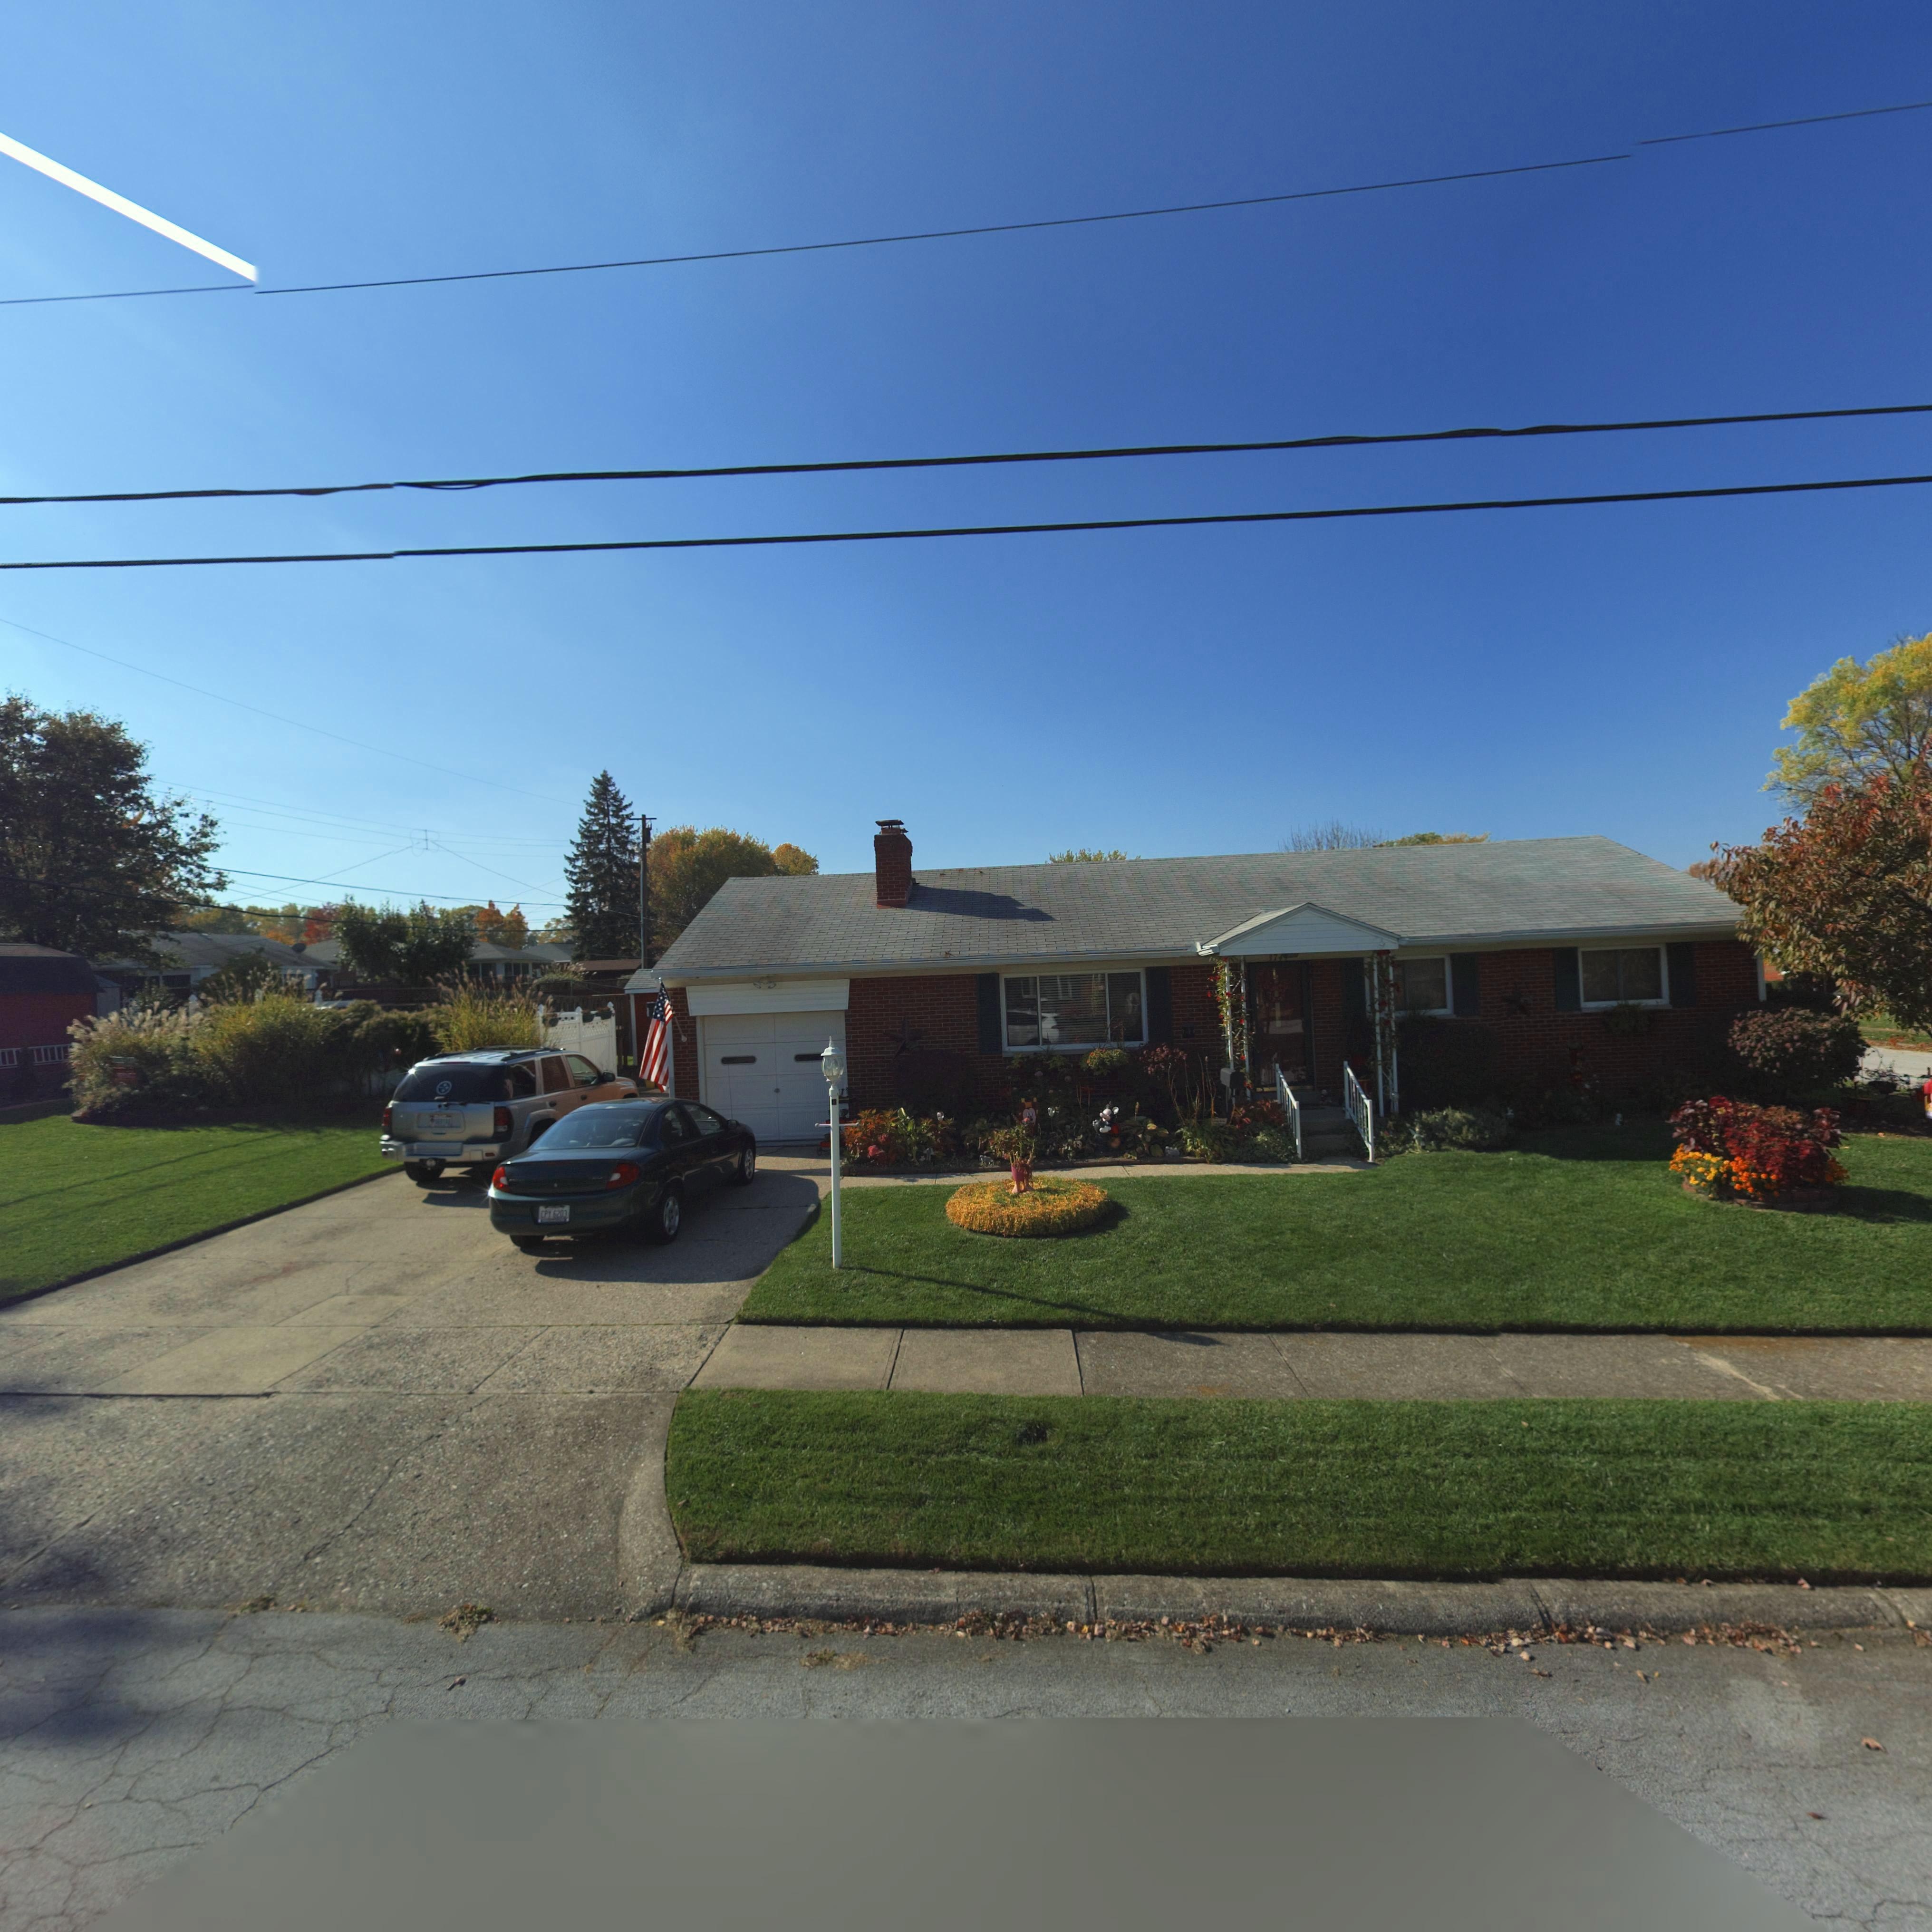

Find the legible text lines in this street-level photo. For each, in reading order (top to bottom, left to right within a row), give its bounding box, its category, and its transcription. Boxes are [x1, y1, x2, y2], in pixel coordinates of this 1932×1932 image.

[1267, 954, 1287, 962] StreetNumber: 374*
[434, 1118, 453, 1125] None: 069TAX
[540, 1209, 568, 1218] None: CPY 6203